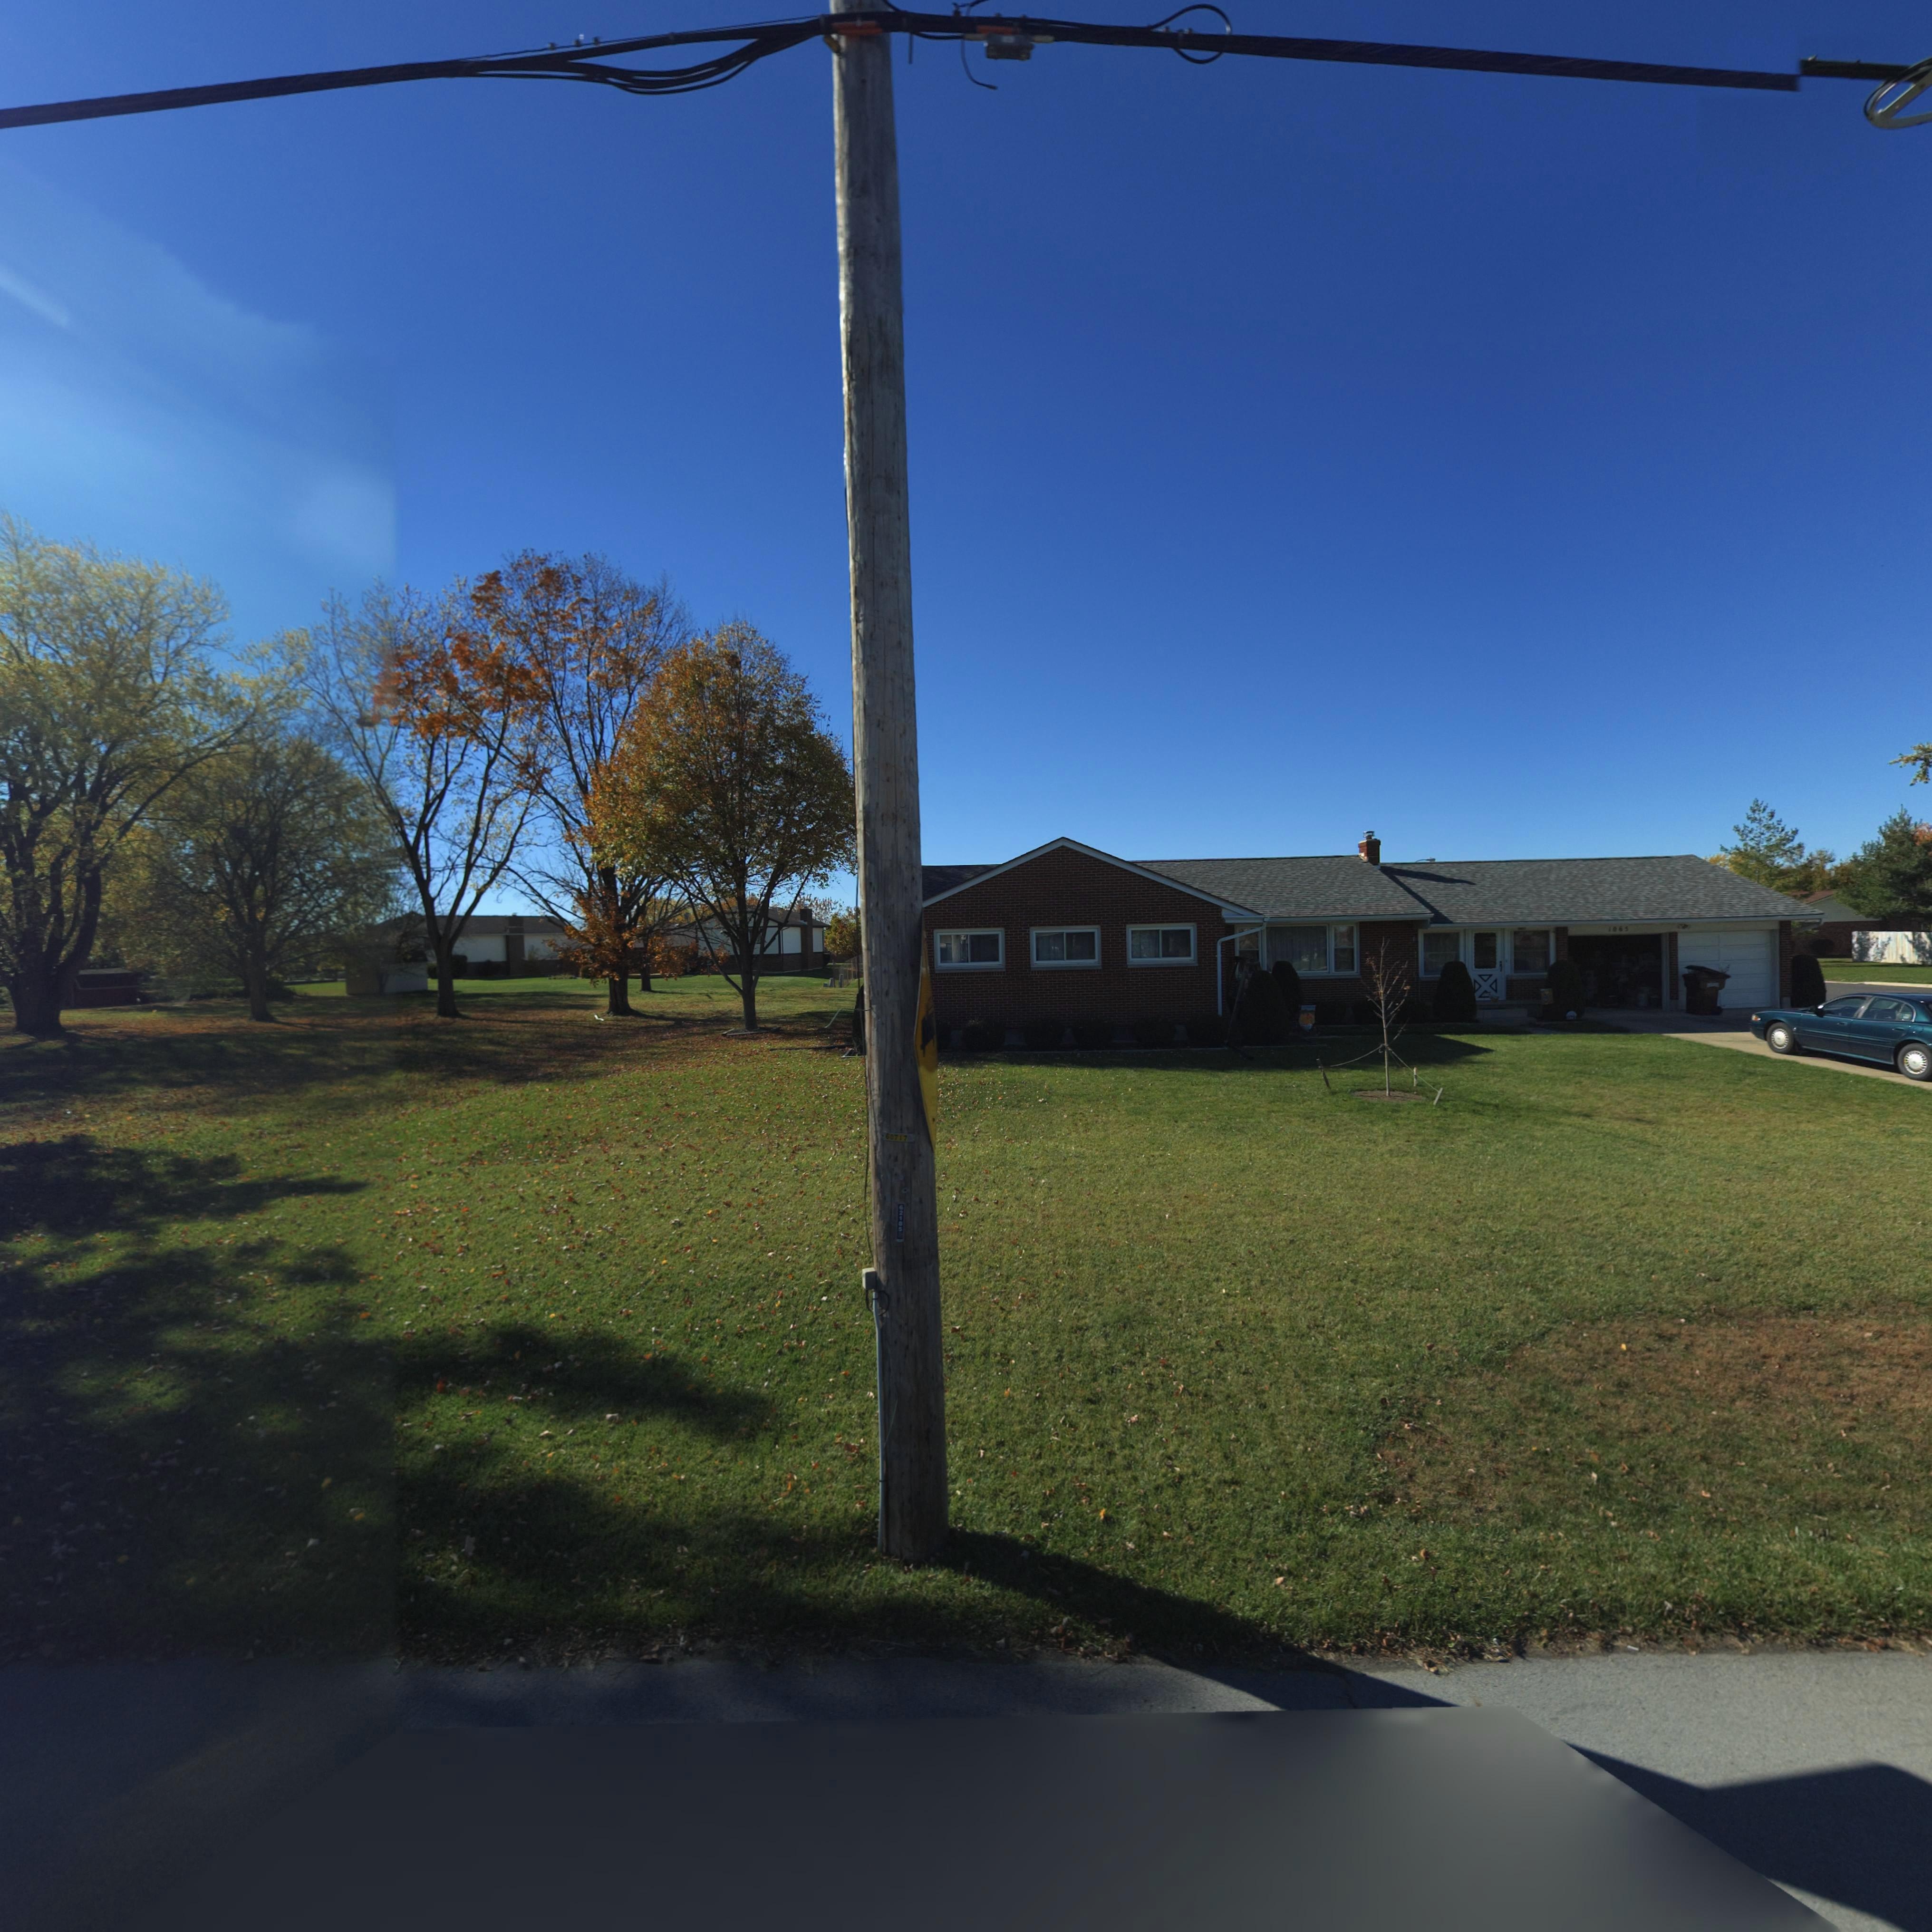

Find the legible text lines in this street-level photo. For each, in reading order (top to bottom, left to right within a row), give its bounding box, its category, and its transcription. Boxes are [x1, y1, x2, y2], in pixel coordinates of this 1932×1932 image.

[1608, 925, 1630, 933] StreetNumber: 1065